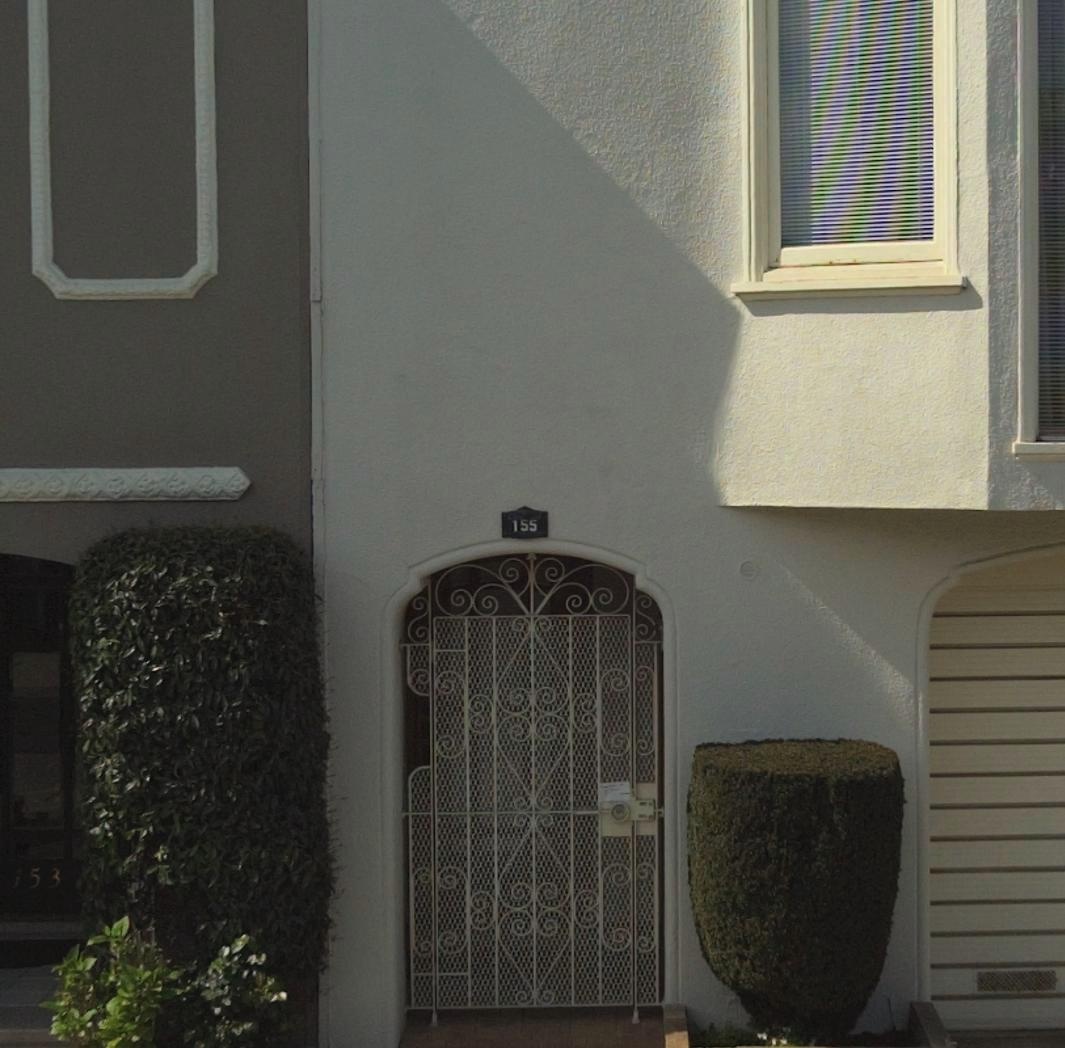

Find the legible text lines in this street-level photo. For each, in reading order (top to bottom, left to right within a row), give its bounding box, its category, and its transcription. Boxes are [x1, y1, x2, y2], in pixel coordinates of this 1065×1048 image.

[511, 517, 540, 534] StreetNumber: 155